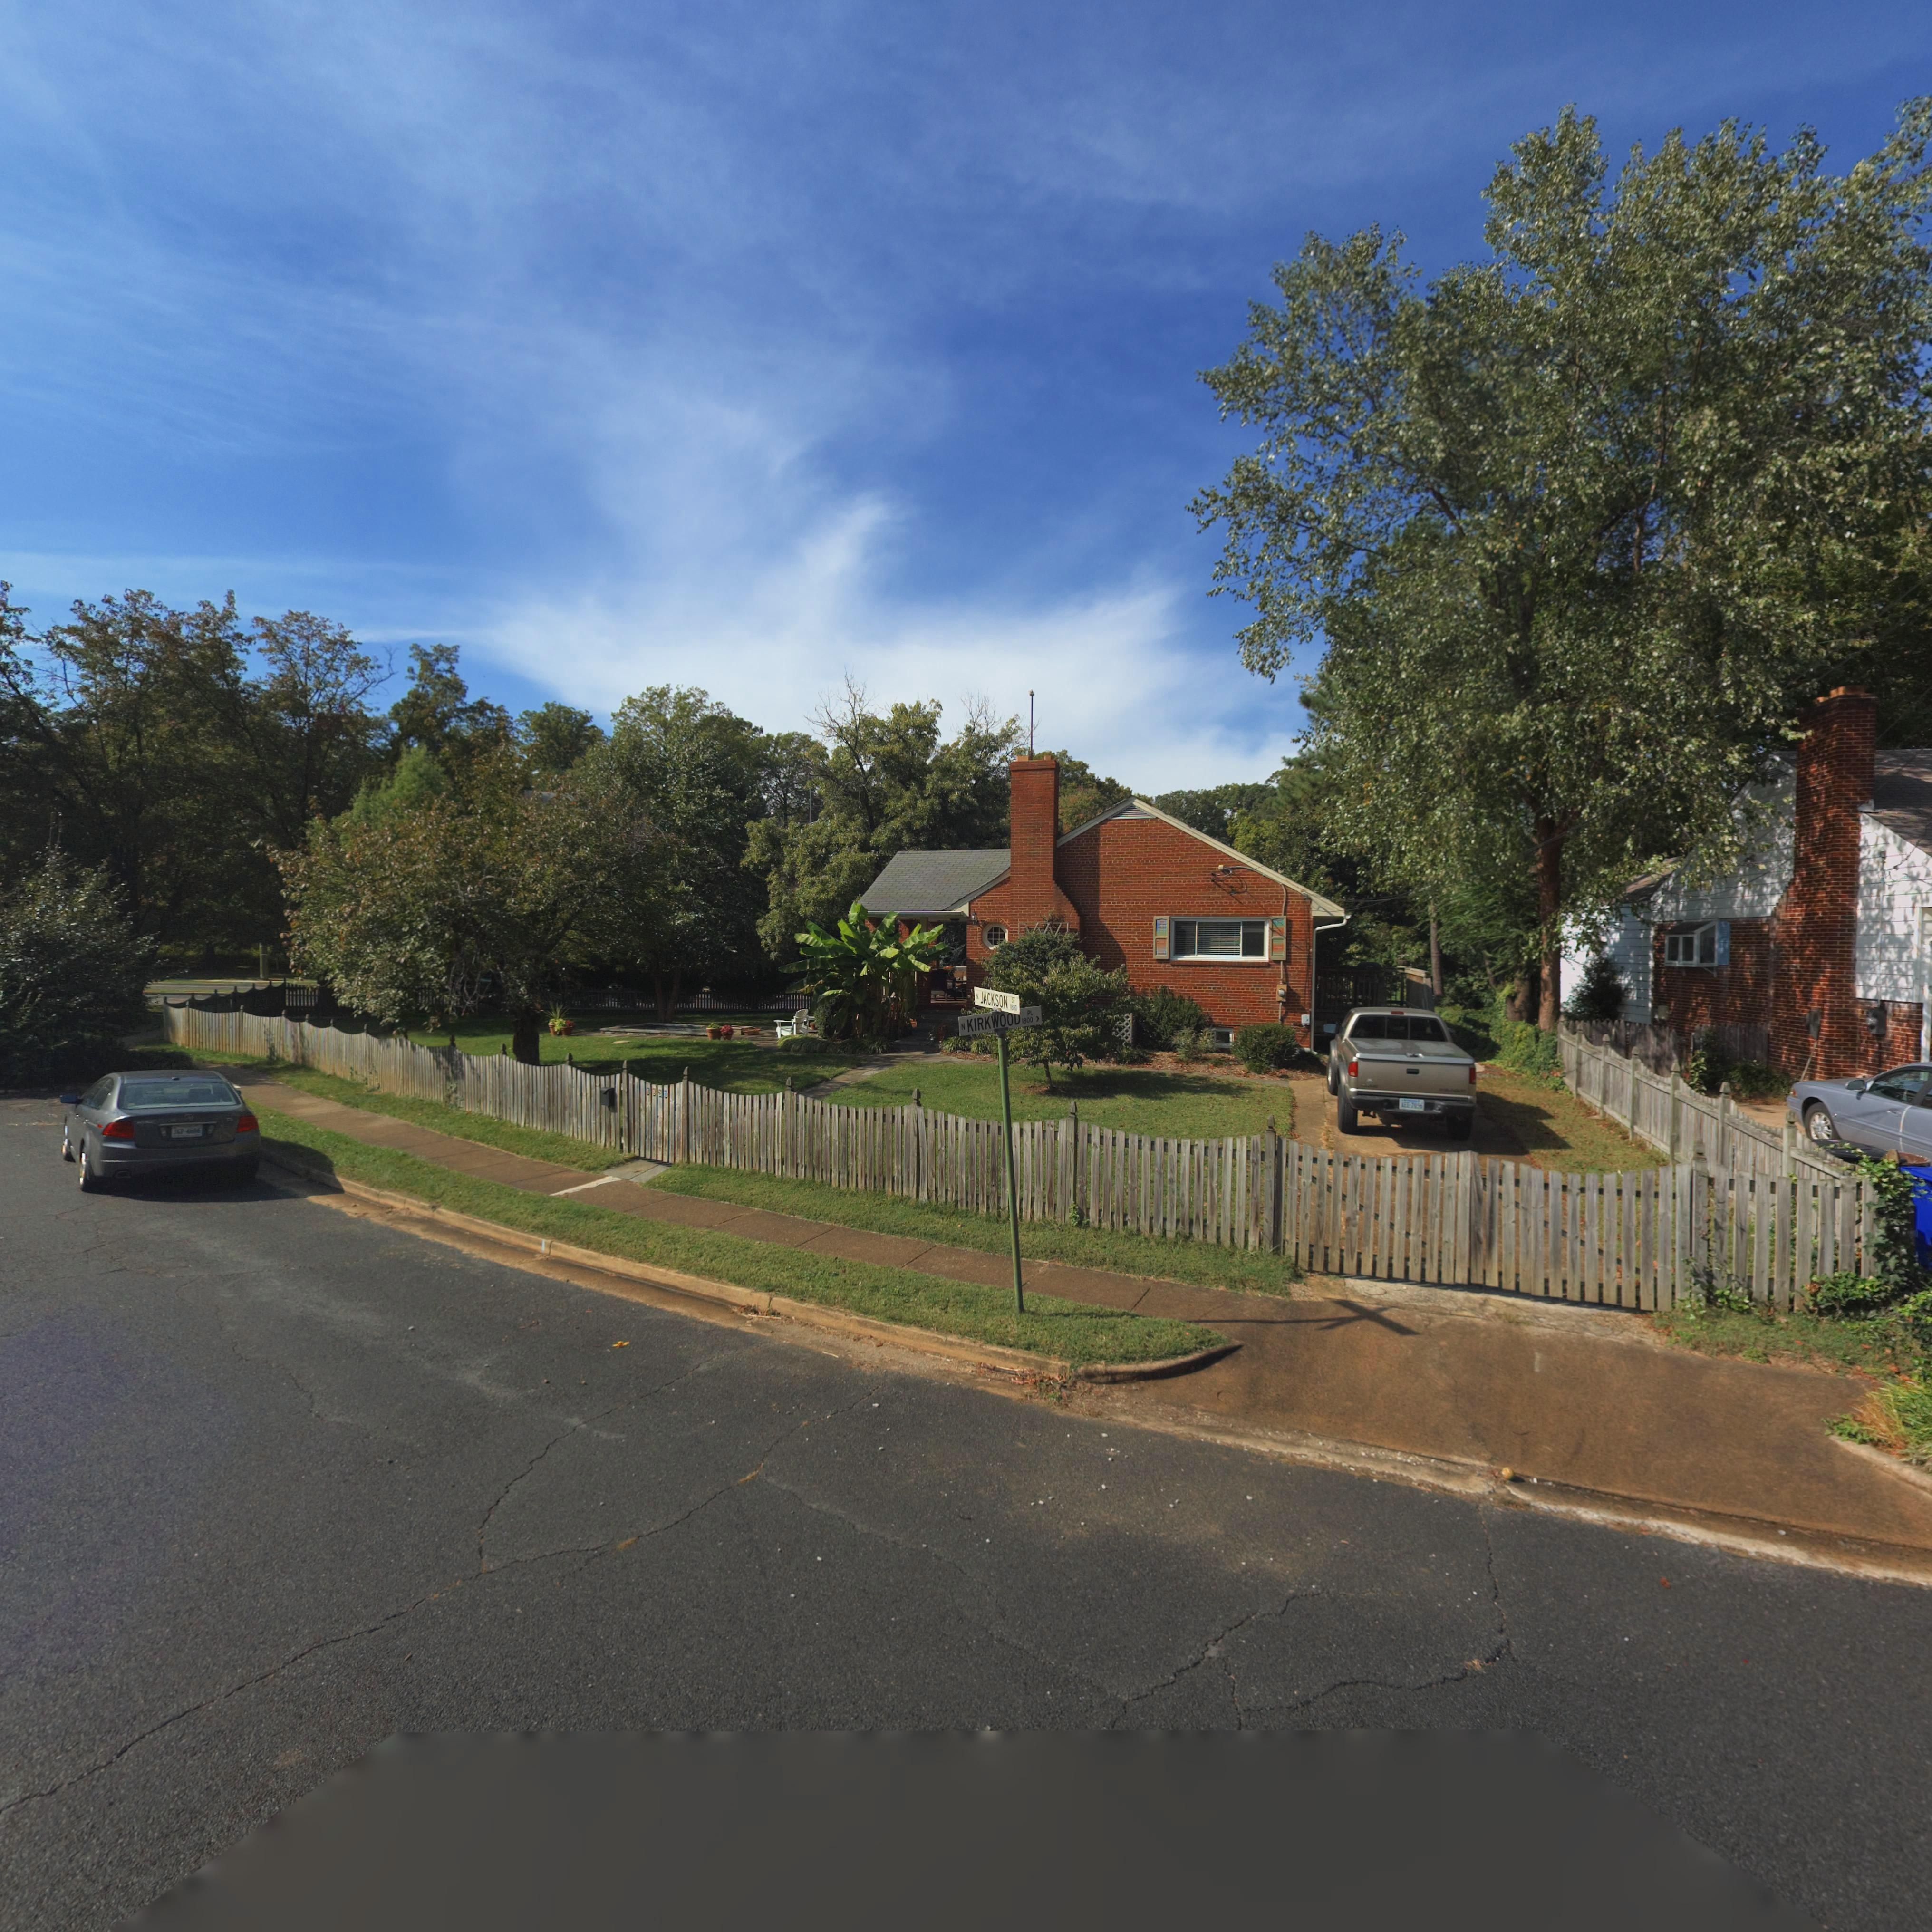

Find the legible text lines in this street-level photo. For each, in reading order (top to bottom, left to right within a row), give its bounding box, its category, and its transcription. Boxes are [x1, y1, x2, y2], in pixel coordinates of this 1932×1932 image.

[976, 993, 979, 1000] StreetName: N
[980, 990, 1008, 1010] StreetName: JACKSON
[1011, 996, 1015, 1004] StreetName: ST
[1010, 1004, 1018, 1012] StreetNumberRange: 1800
[1027, 1010, 1034, 1016] StreetName: PL
[961, 1022, 965, 1030] StreetName: N
[966, 1013, 1021, 1033] StreetName: KIRKWOOD
[1022, 1015, 1041, 1025] StreetNumberRange: 1800 >
[645, 1087, 668, 1099] StreetNumber: 1830
[1400, 1101, 1423, 1109] None: *EE-7956
[135, 1120, 154, 1125] None: ACURA
[173, 1128, 202, 1135] None: *CP-4686